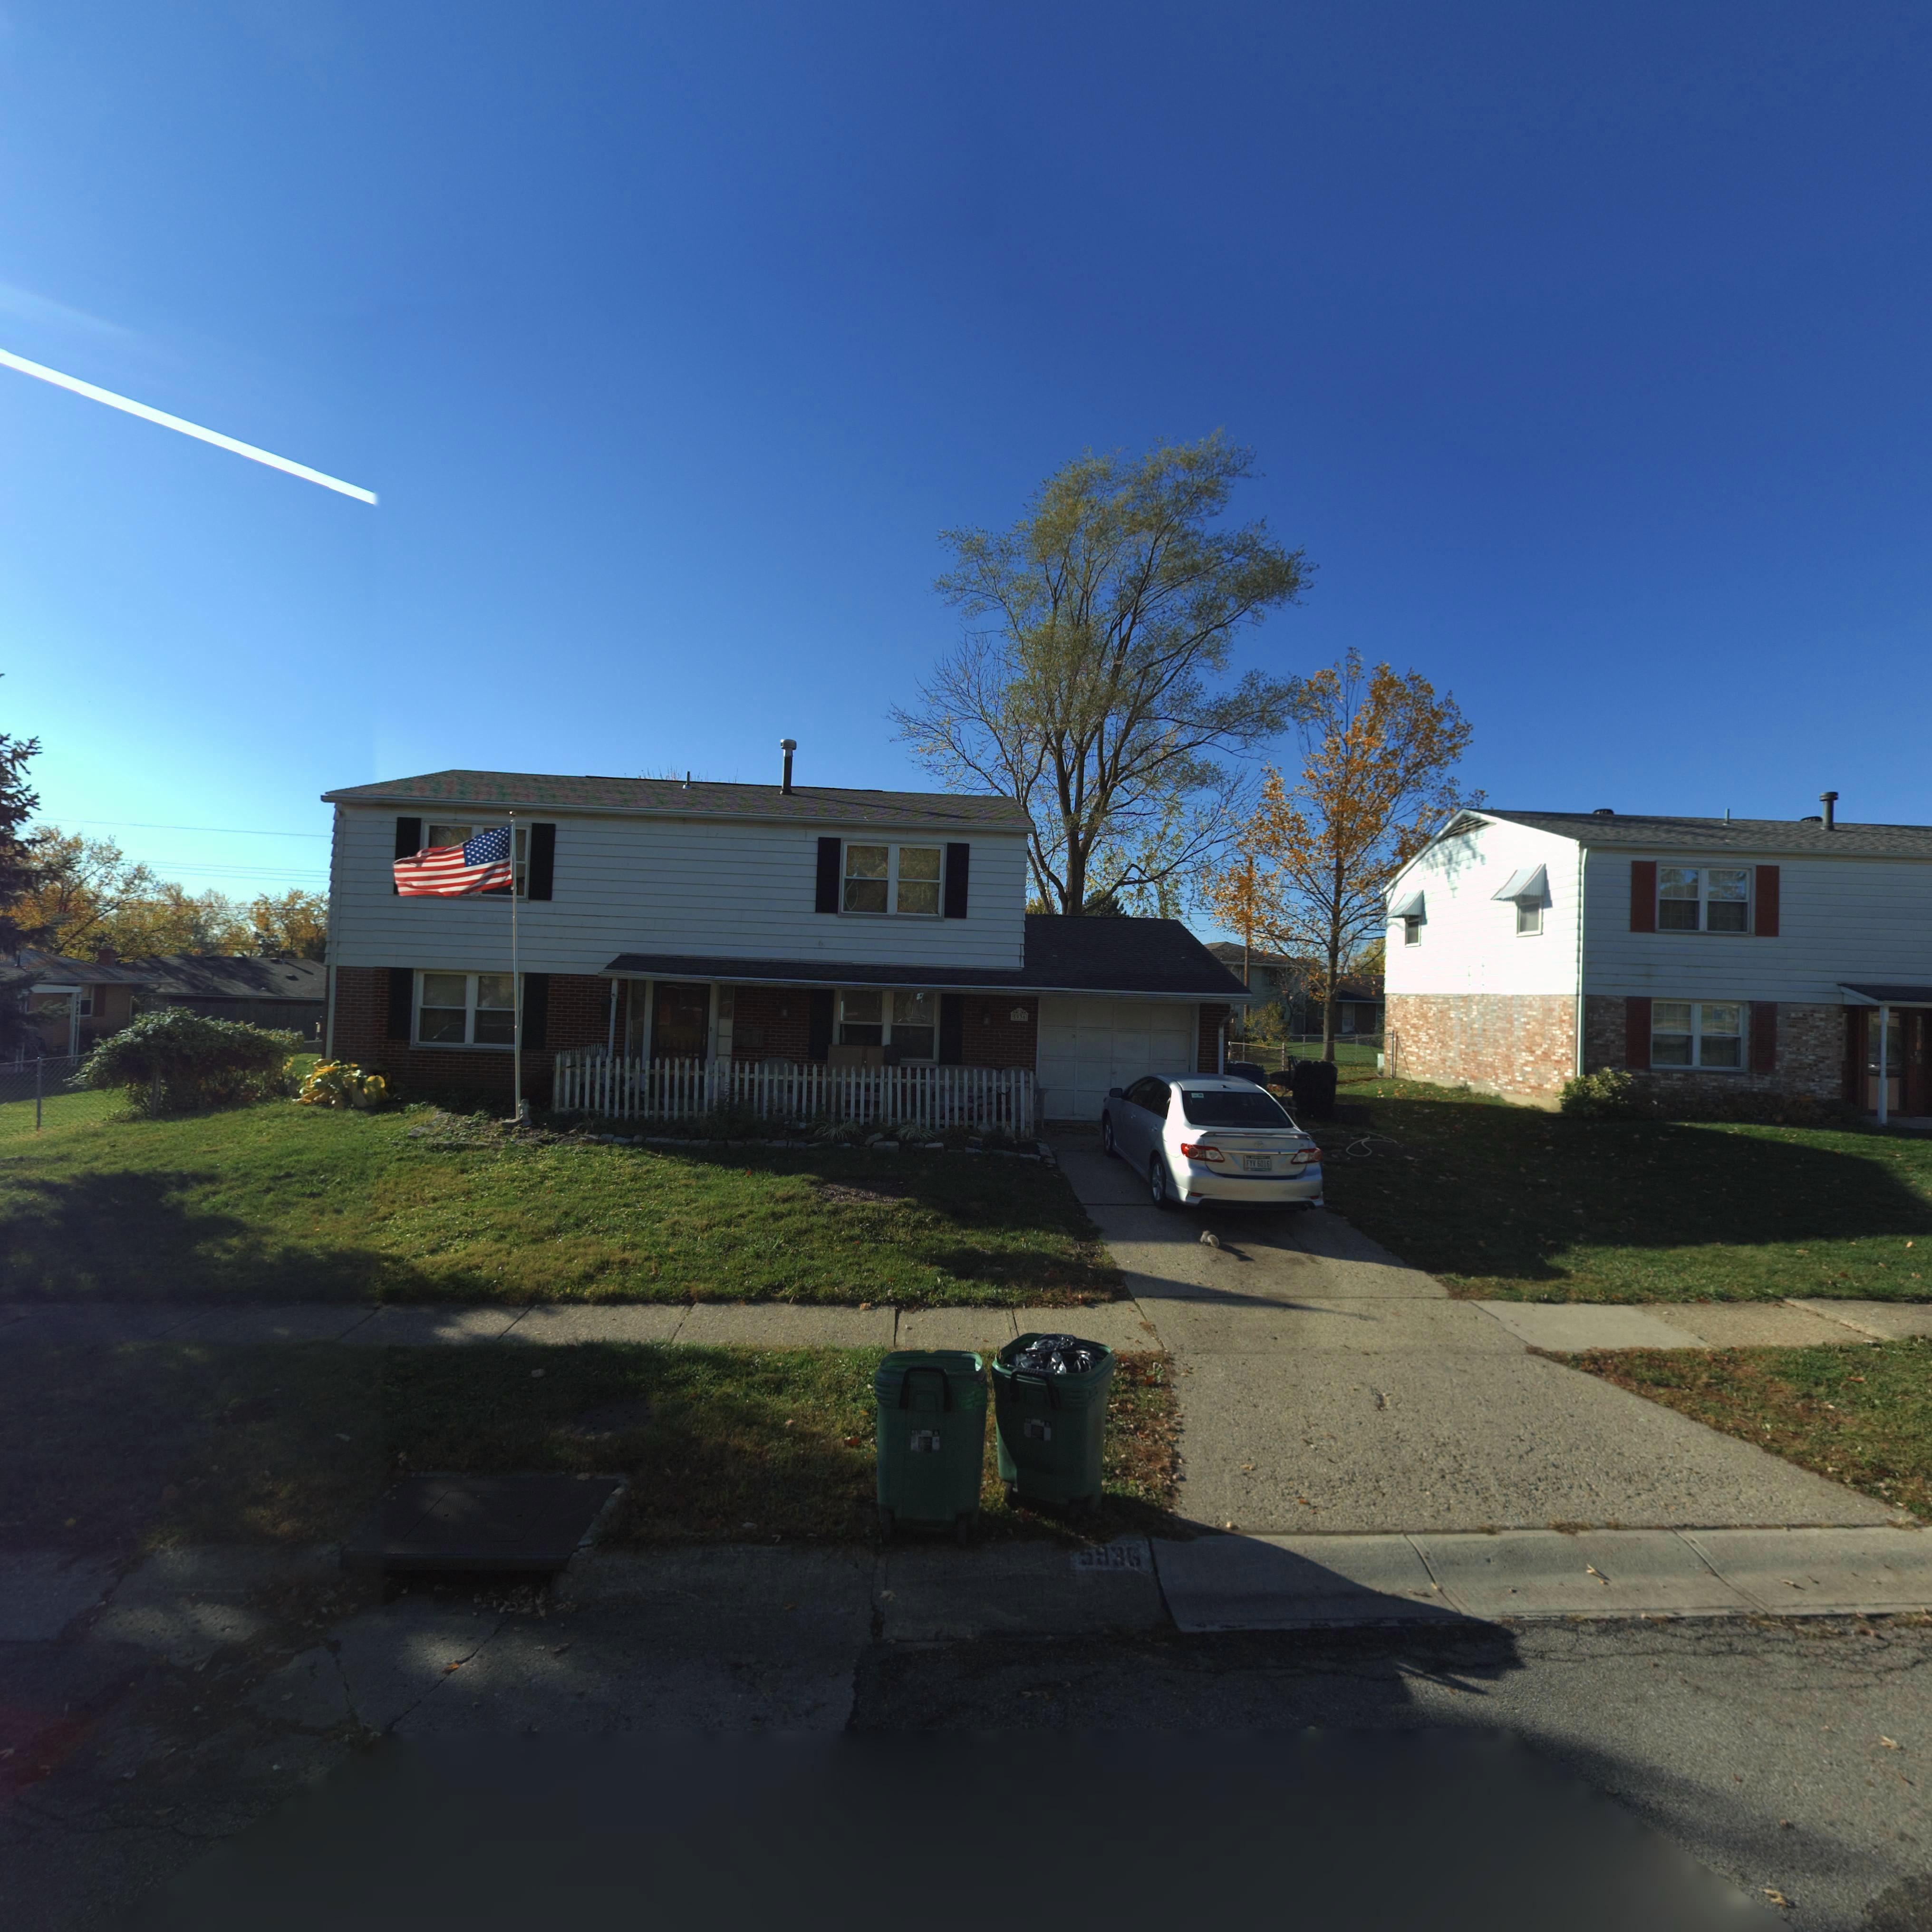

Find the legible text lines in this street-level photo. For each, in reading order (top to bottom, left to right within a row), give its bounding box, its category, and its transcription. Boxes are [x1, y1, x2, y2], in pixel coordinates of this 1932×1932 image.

[1012, 1014, 1027, 1021] StreetNumber: 59*6
[1078, 1544, 1145, 1570] StreetNumber: *936